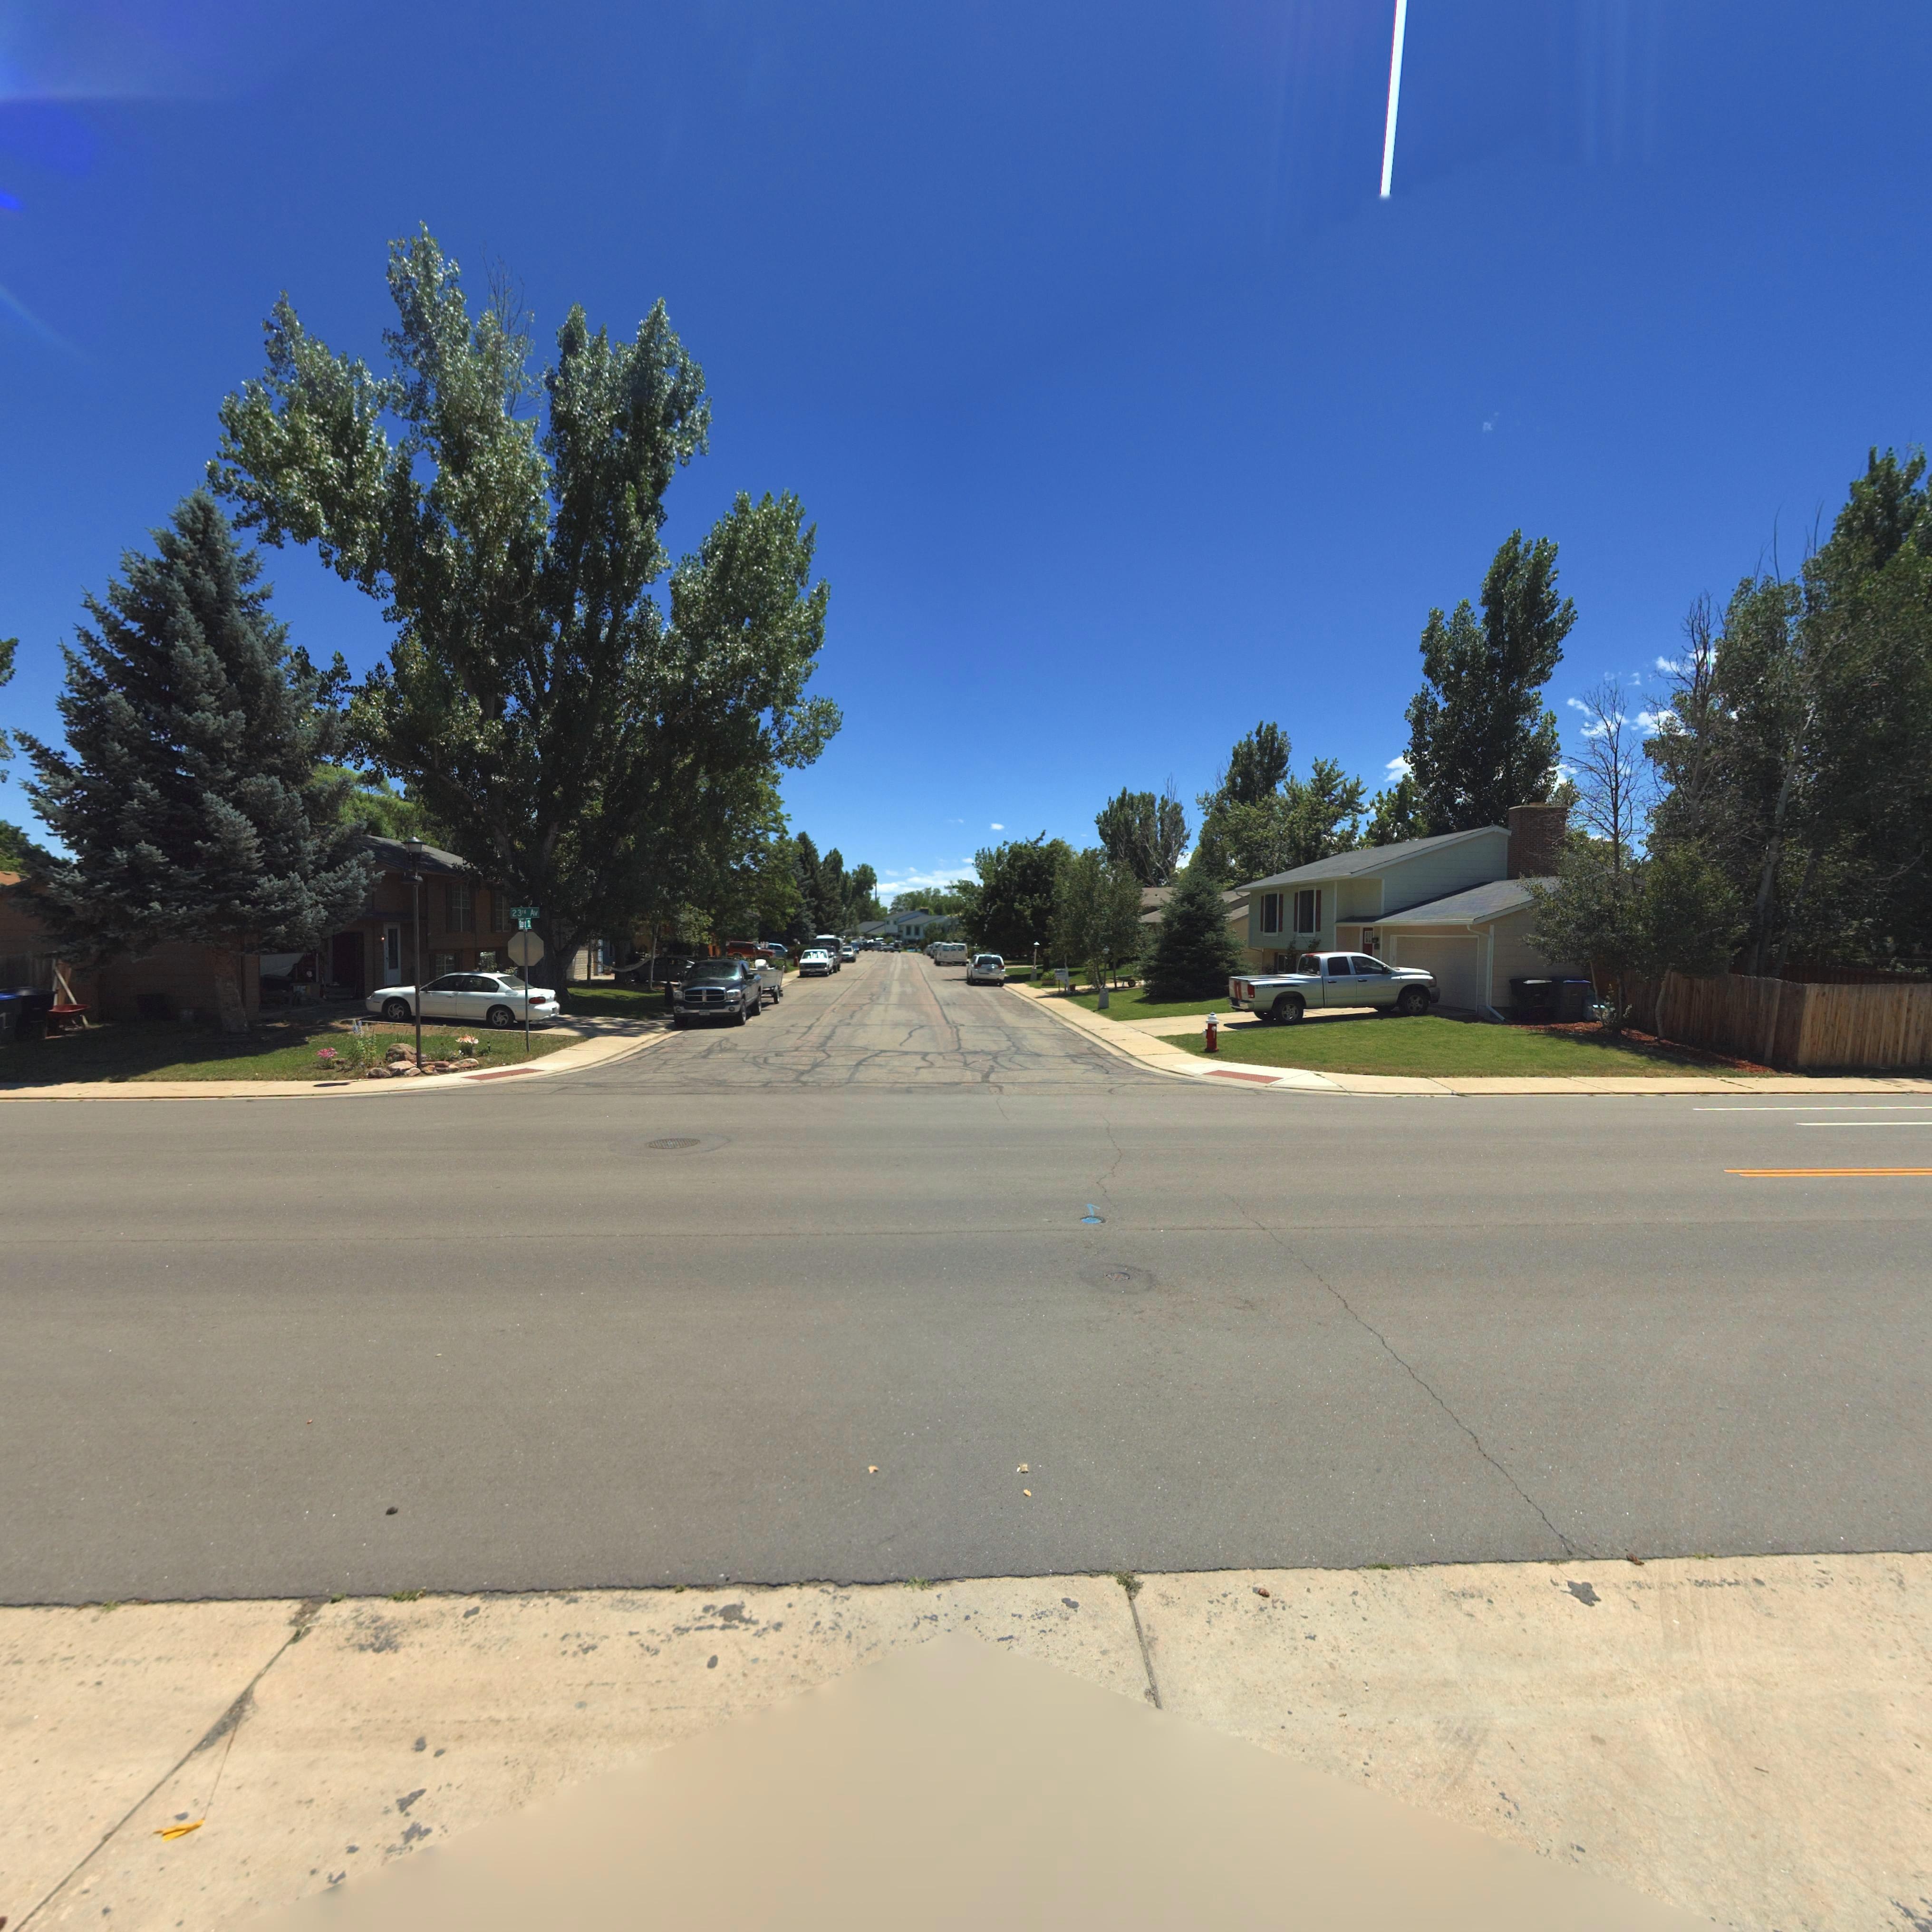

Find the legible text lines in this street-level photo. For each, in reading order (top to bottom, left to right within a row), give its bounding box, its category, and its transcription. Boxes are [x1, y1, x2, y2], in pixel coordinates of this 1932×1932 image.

[512, 908, 538, 917] StreetName: 23rd Av